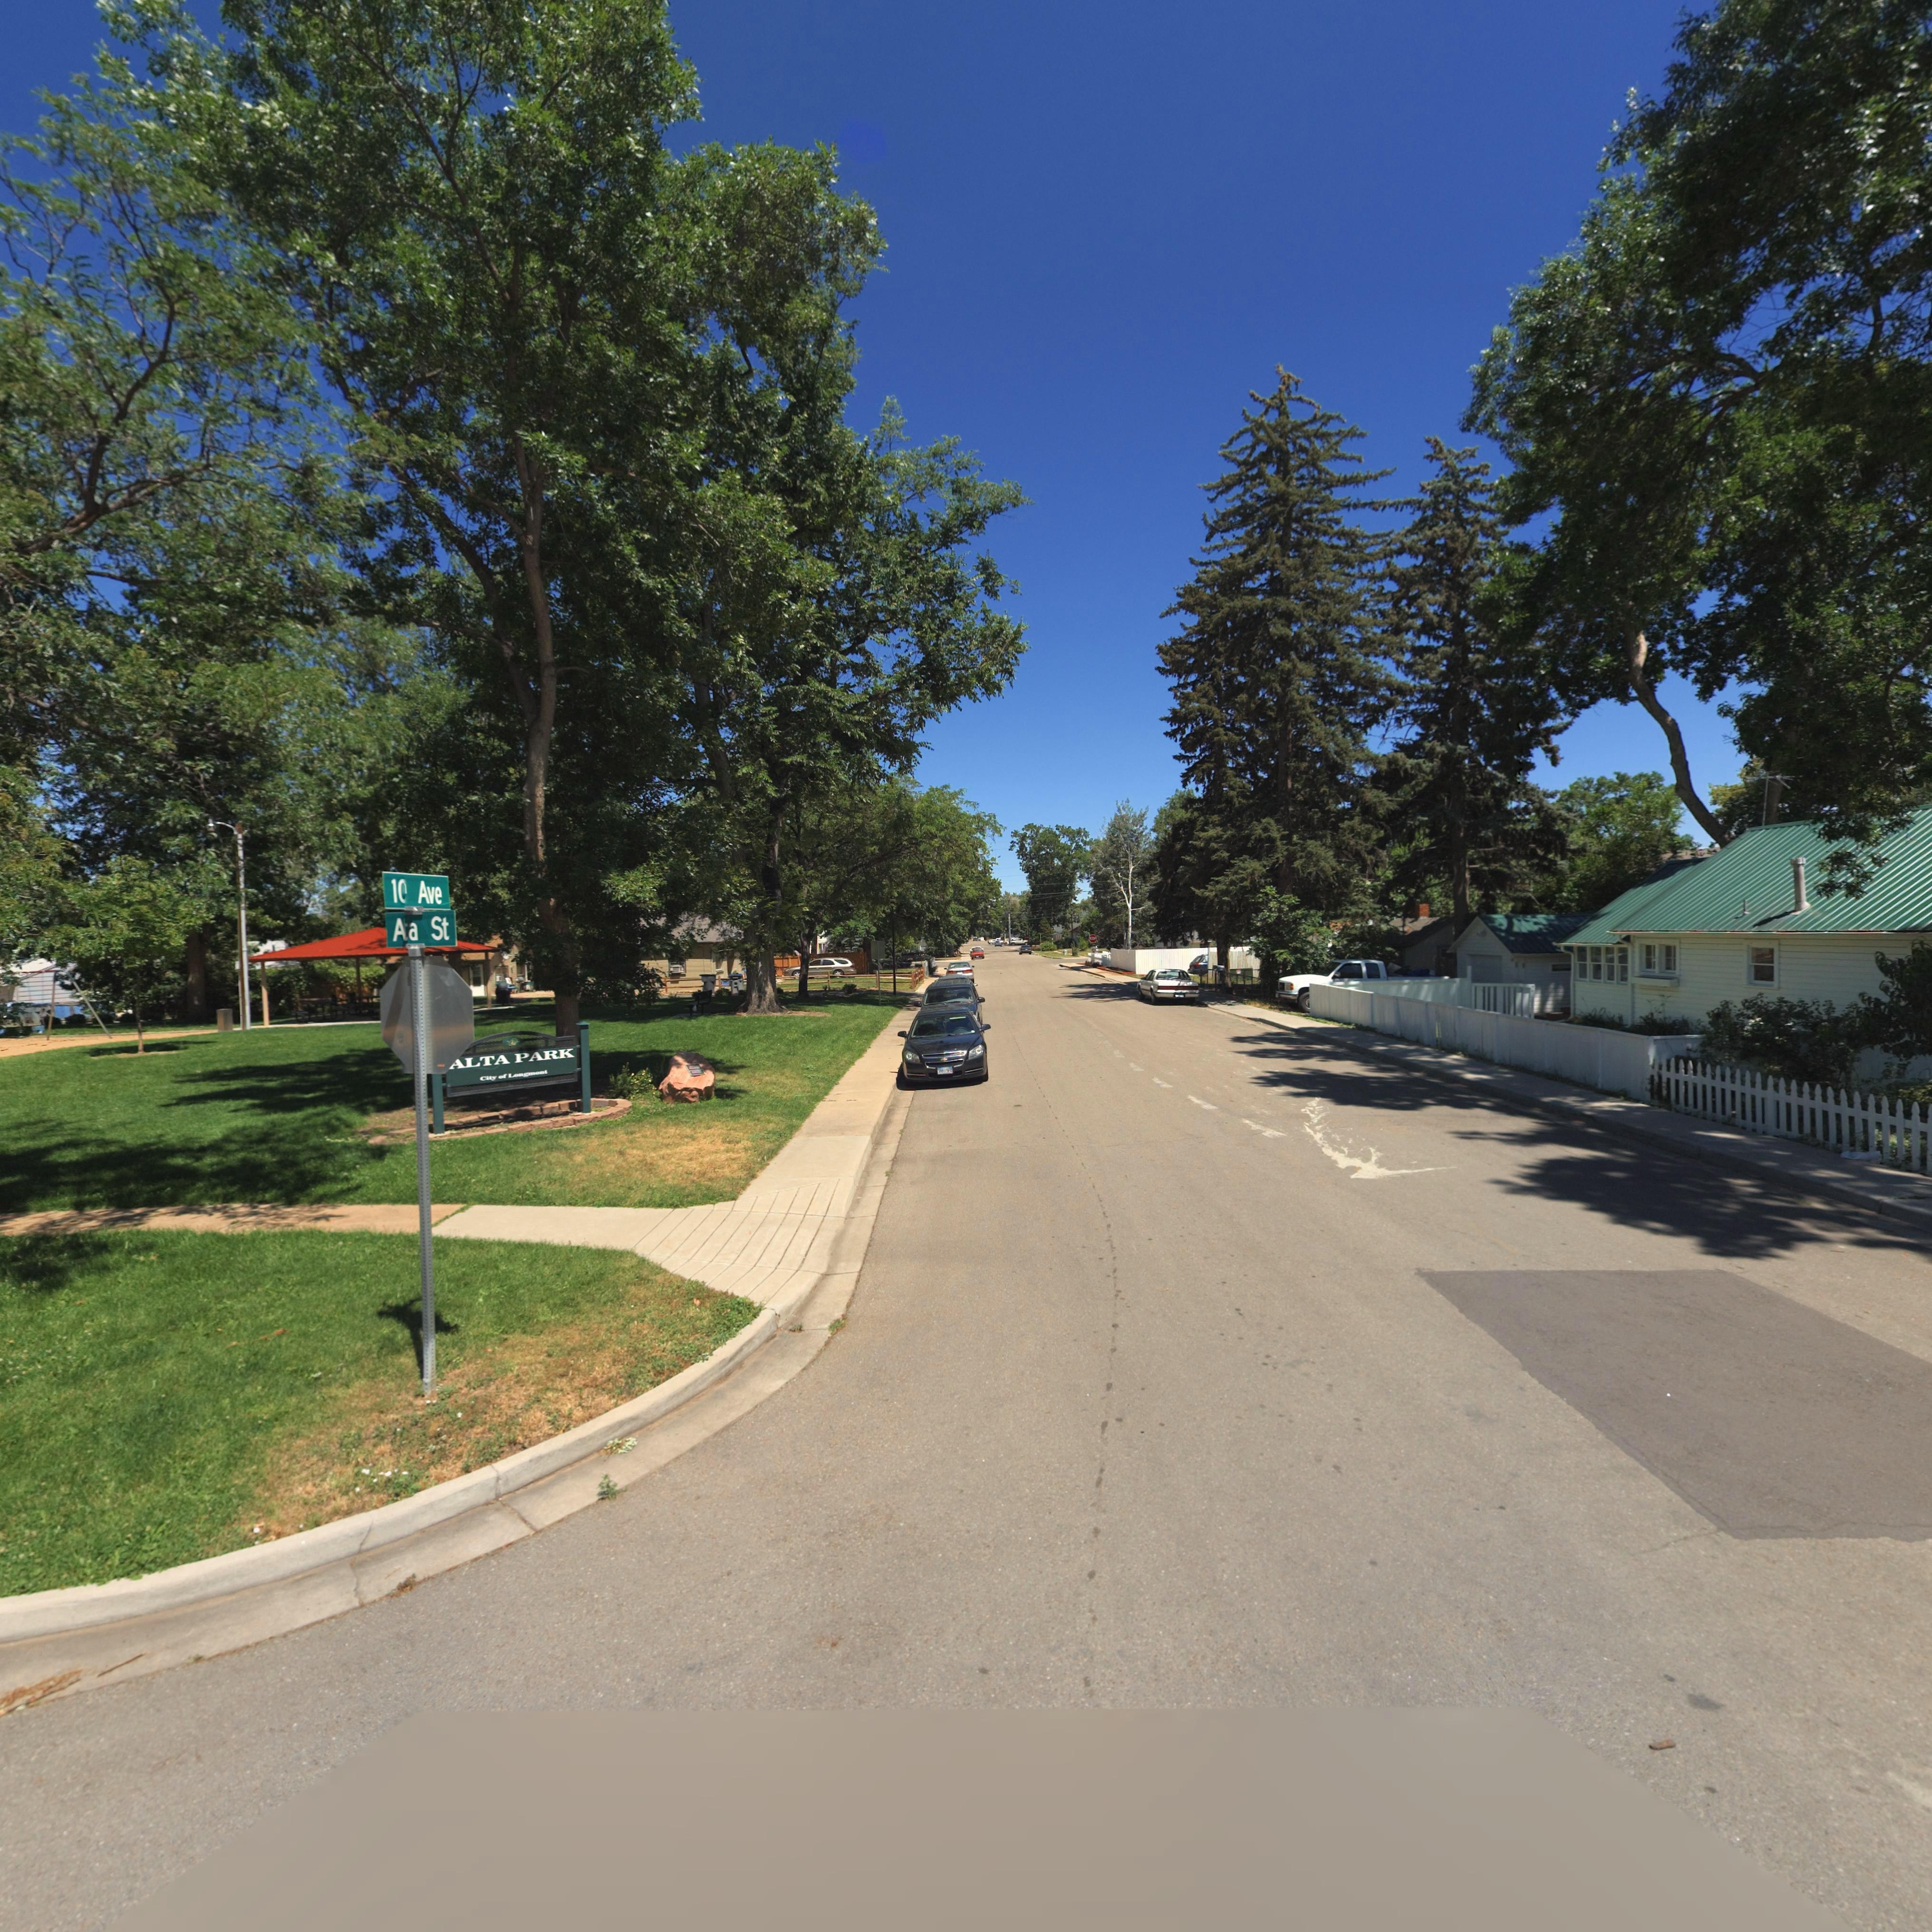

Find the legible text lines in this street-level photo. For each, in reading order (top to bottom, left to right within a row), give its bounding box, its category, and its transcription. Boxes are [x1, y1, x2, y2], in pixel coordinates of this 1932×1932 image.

[390, 876, 443, 907] StreetName: 10 Ave
[391, 914, 451, 944] StreetName: Aa St